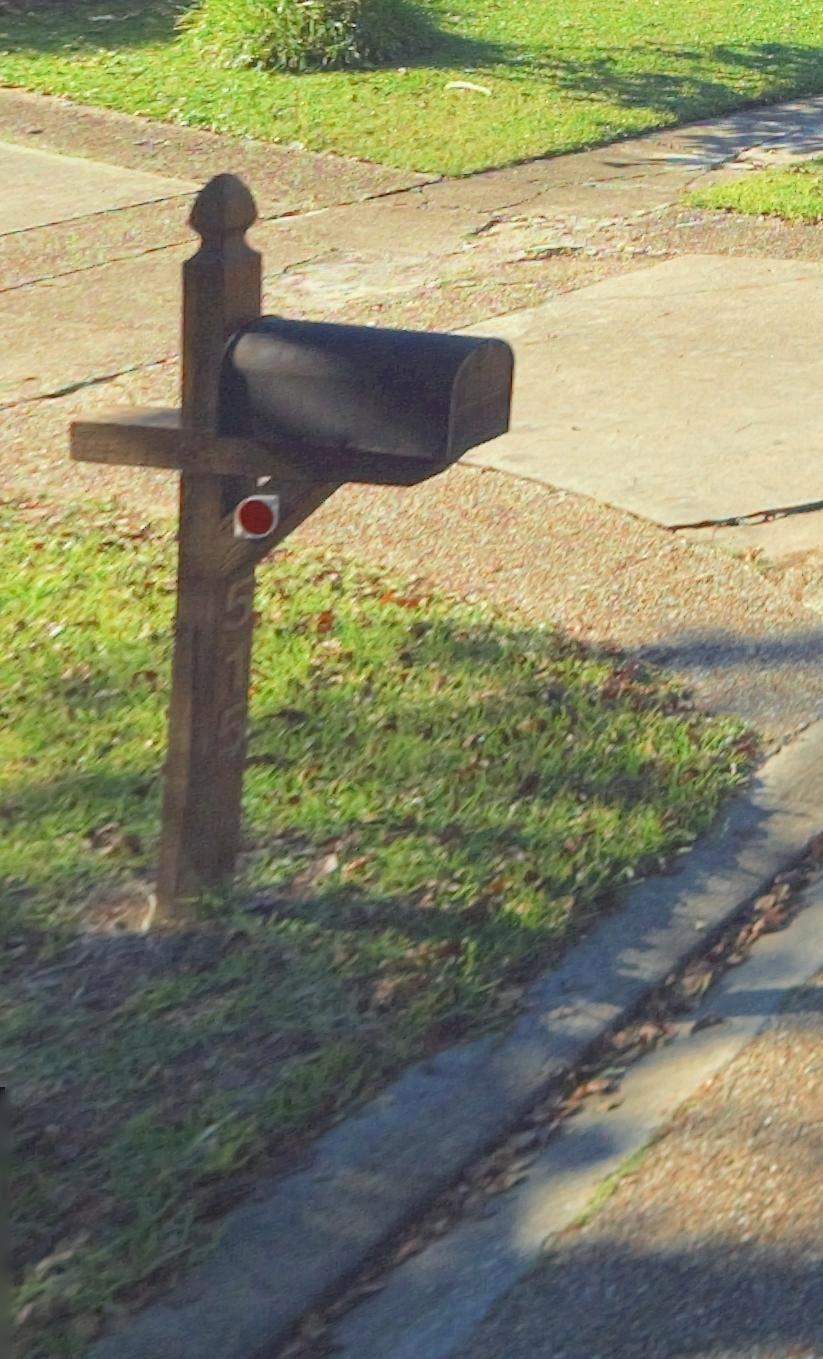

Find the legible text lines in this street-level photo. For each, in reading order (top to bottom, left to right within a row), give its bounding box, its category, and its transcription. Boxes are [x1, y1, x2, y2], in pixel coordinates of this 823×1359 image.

[212, 567, 258, 763] StreetNumber: 515